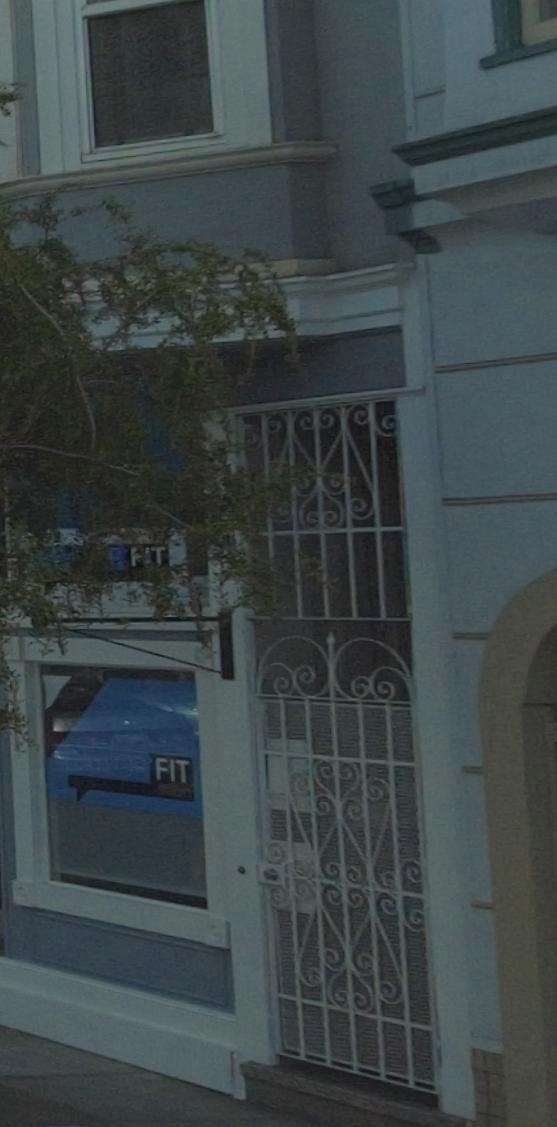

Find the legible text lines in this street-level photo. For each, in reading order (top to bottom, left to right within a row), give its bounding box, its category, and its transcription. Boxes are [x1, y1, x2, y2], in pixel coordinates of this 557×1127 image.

[148, 544, 168, 569] BusinessName: T
[150, 755, 193, 787] BusinessName: FIT